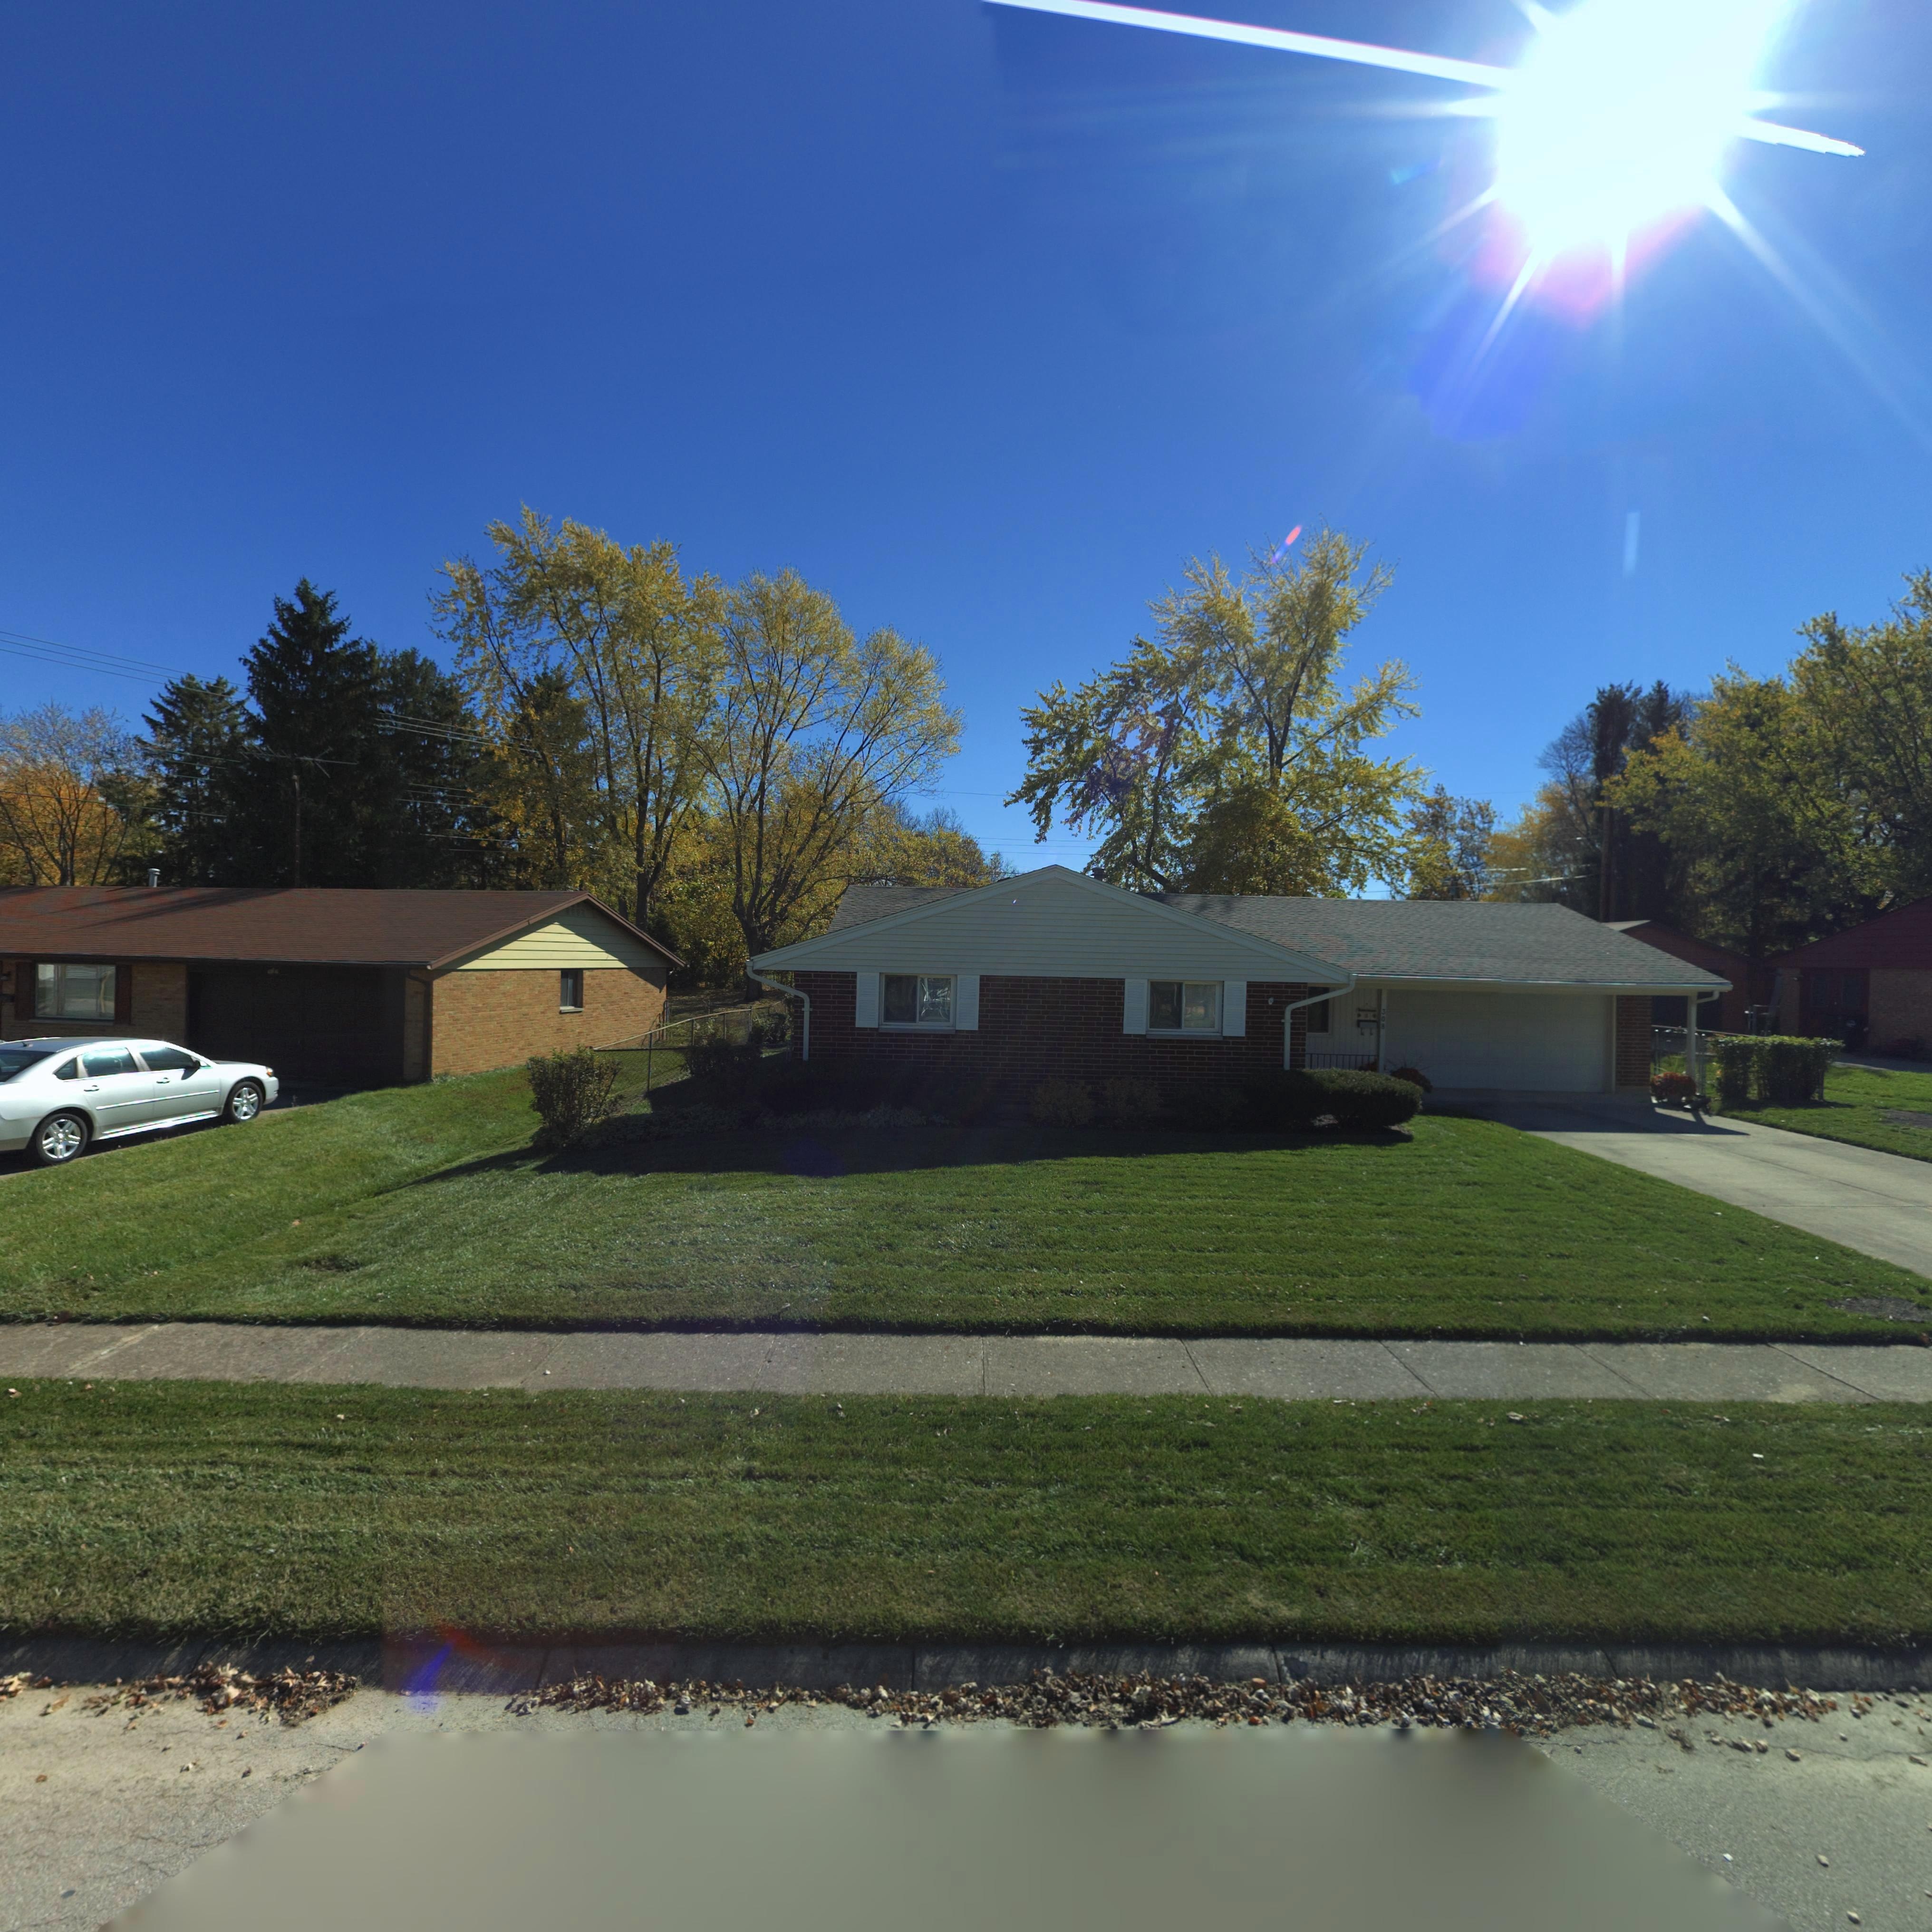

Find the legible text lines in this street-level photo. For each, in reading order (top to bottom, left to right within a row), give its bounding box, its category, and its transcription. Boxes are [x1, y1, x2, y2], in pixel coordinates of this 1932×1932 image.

[1380, 1007, 1387, 1031] StreetNumber: 308